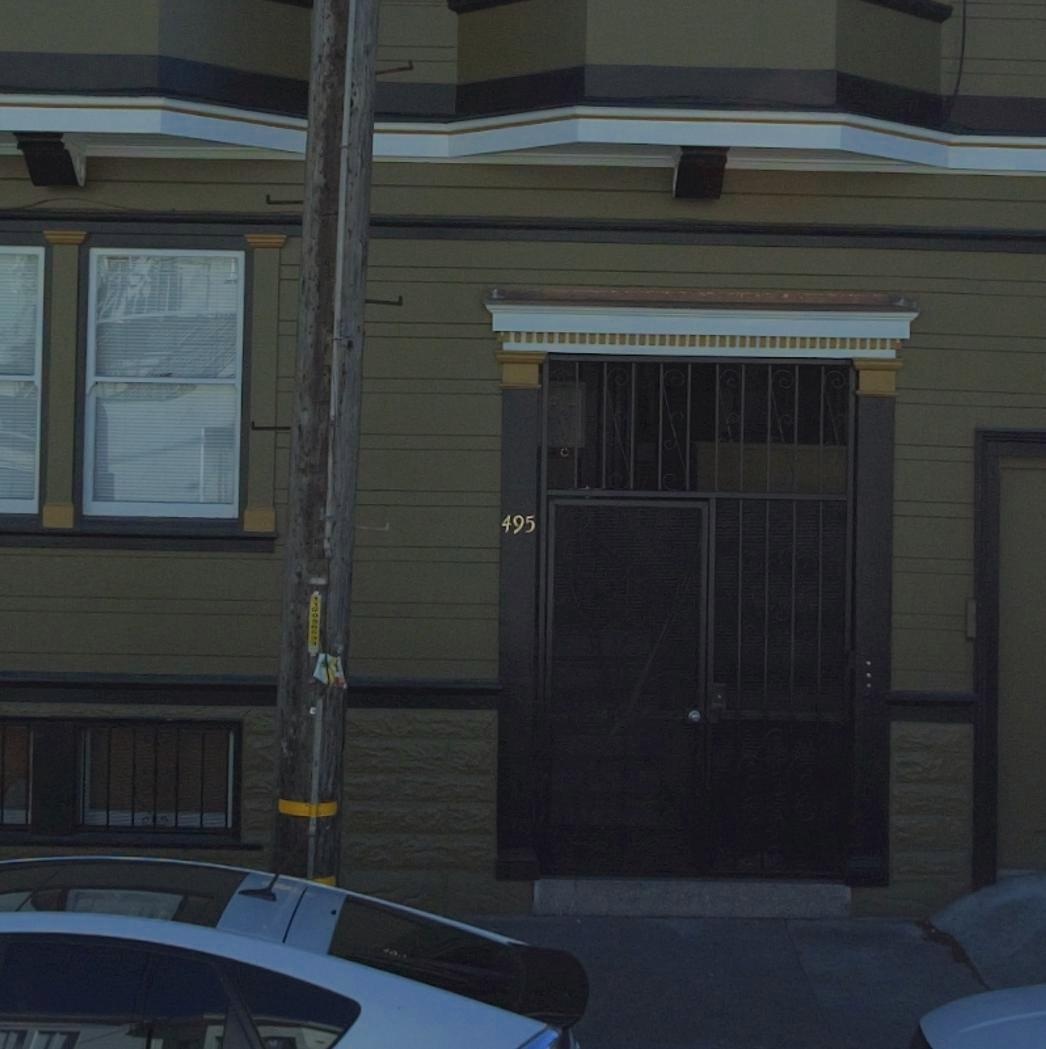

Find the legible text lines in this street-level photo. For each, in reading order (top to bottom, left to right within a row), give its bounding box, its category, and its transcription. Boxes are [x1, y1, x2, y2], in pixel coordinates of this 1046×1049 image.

[500, 513, 537, 535] StreetNumber: 495